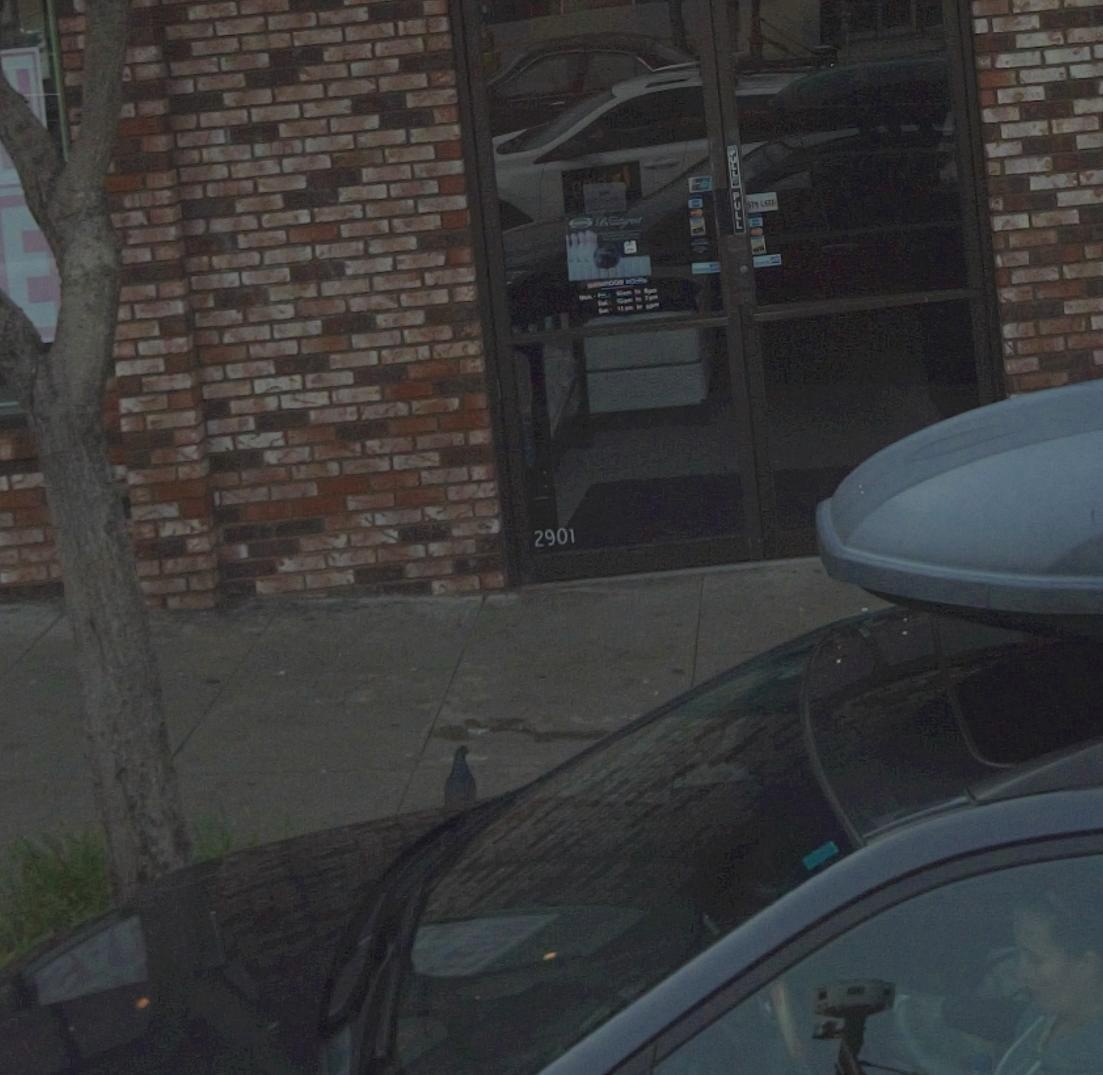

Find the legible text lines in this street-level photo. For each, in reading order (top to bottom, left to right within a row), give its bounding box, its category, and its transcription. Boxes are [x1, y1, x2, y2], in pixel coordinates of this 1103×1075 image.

[728, 147, 739, 179] None: PULL
[731, 190, 743, 231] None: PULL
[533, 527, 576, 549] StreetNumber: 2901